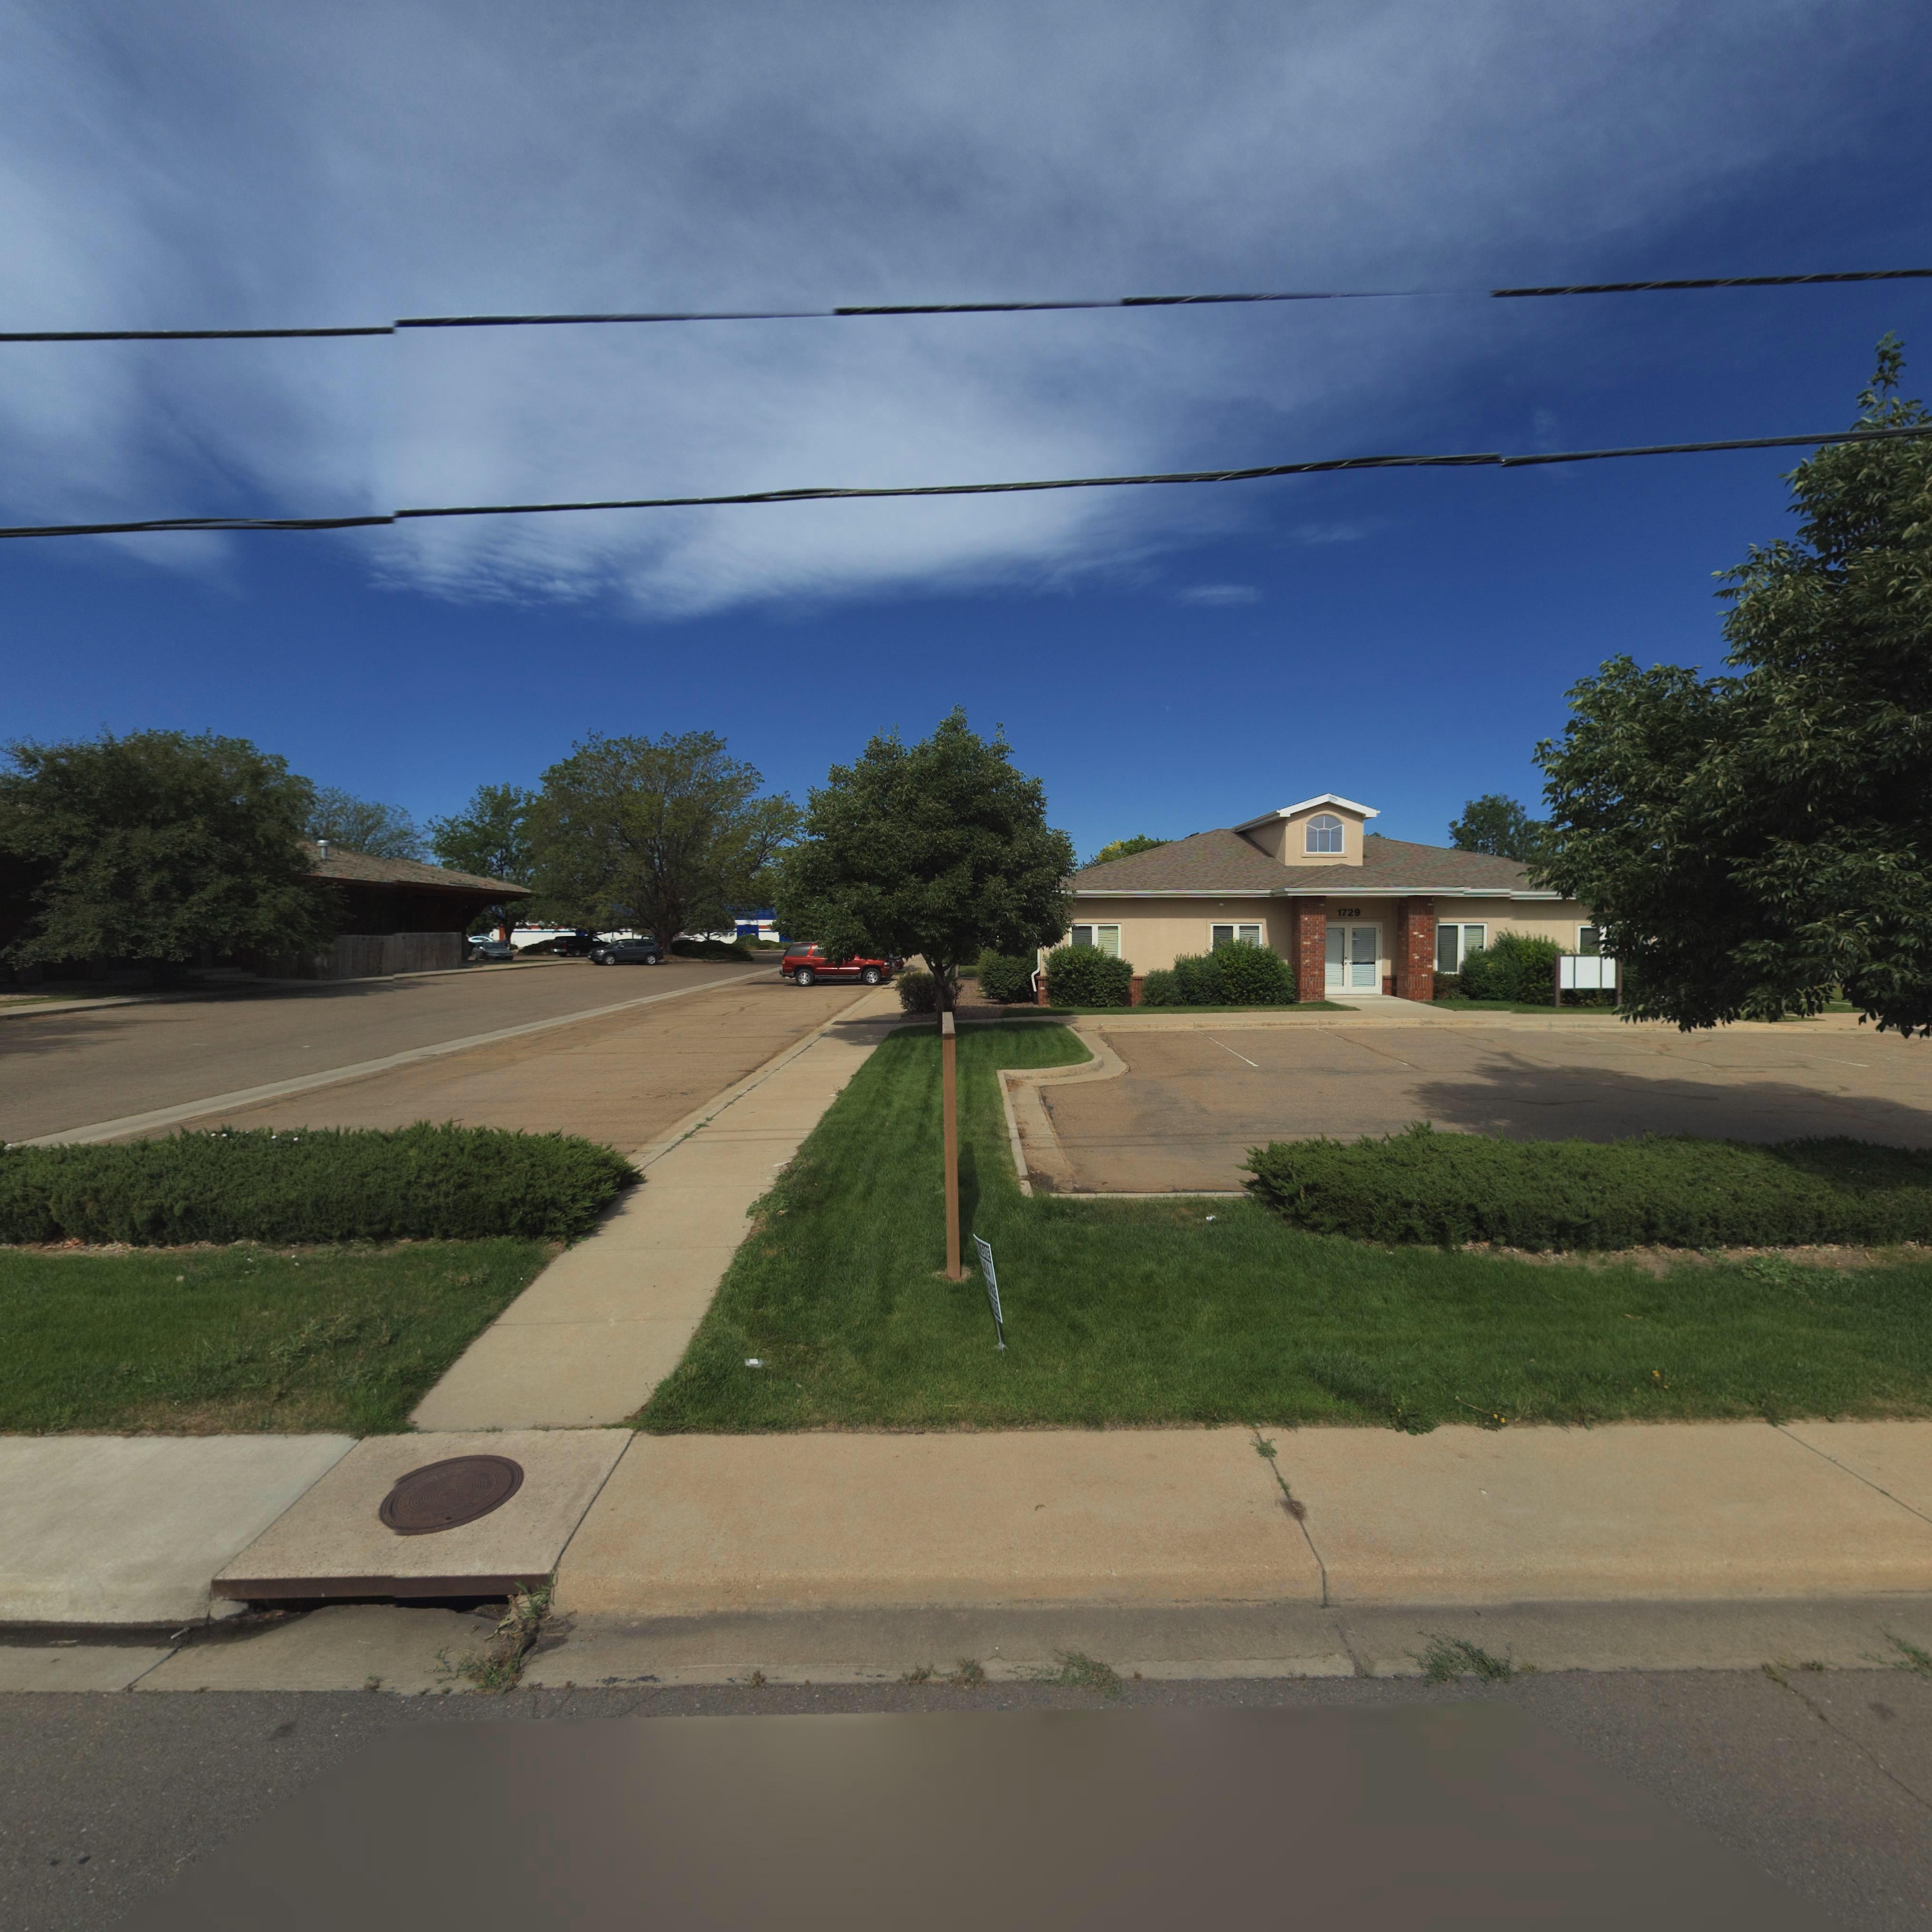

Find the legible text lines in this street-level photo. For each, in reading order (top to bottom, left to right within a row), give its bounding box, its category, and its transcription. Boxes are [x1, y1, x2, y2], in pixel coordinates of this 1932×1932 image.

[1337, 908, 1361, 917] StreetNumber: 1729